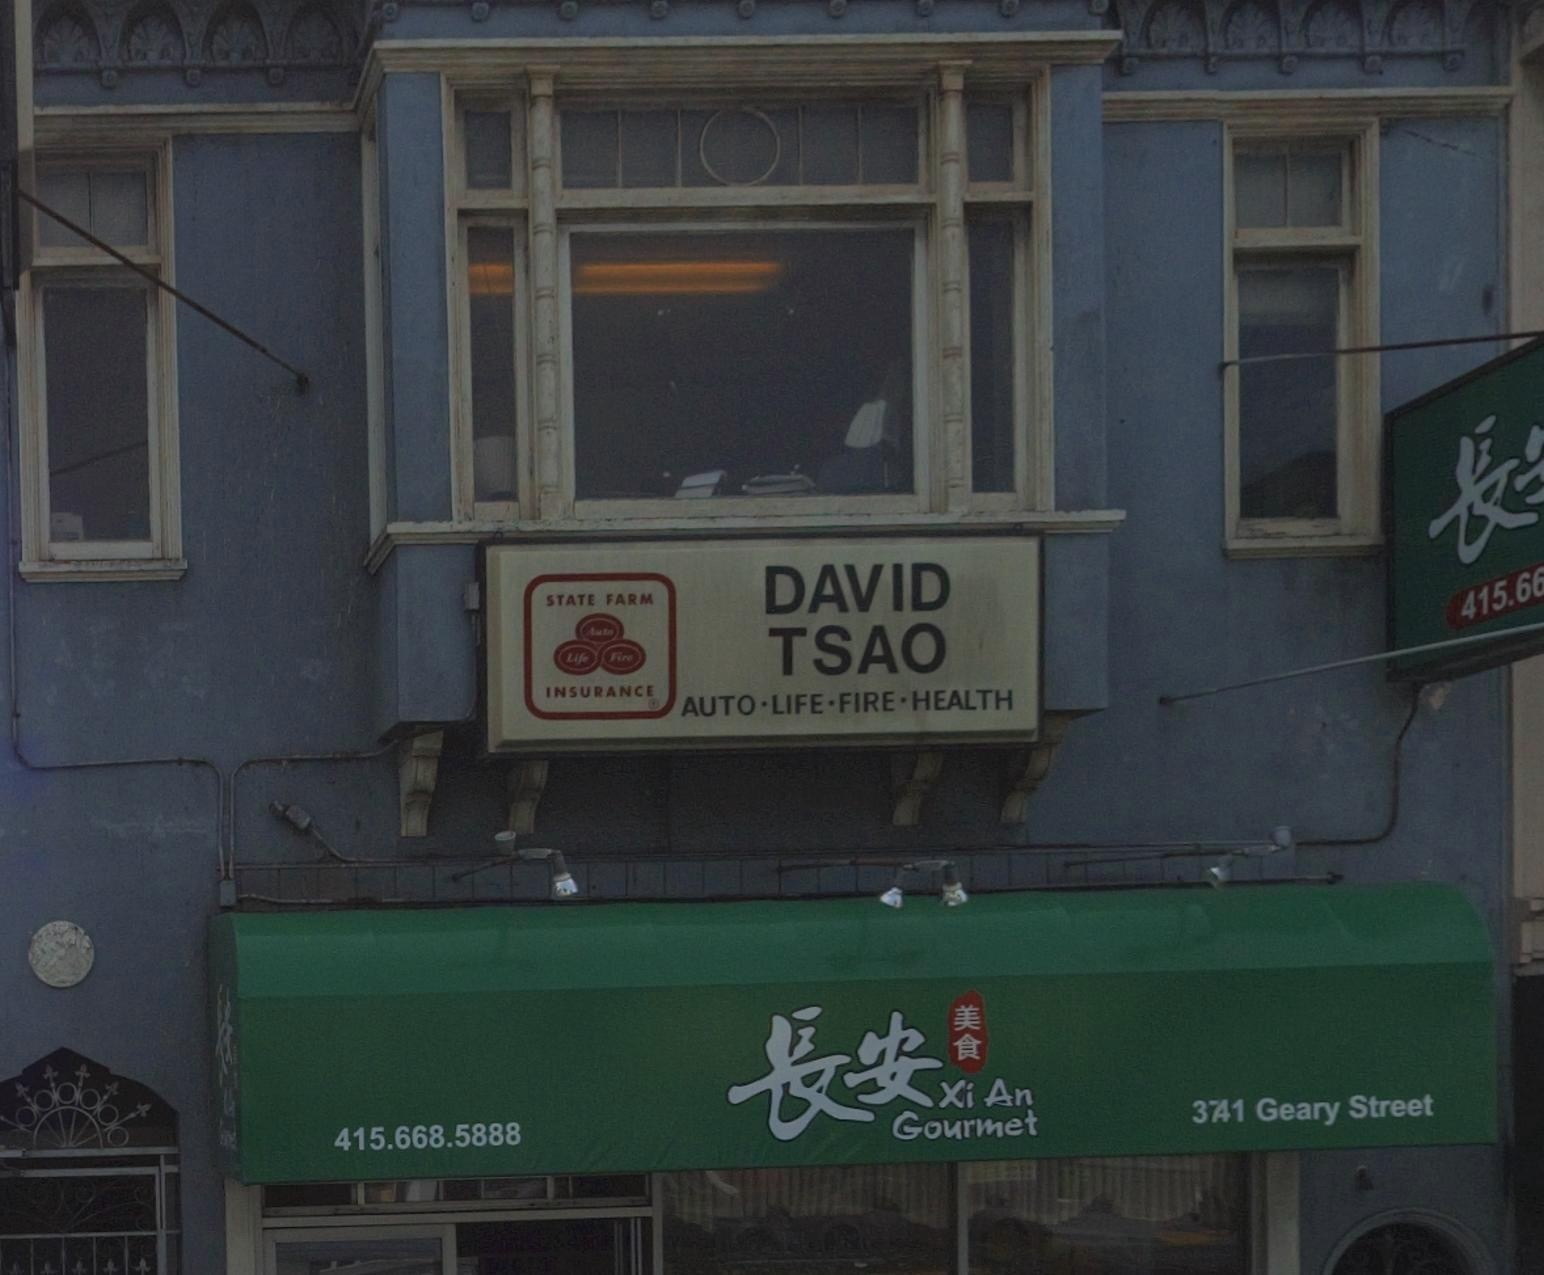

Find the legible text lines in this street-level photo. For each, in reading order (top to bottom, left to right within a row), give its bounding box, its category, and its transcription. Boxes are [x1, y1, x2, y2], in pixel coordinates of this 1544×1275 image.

[544, 592, 655, 609] BusinessName: STATE FARM
[761, 559, 954, 618] None: DAVID
[1456, 565, 1534, 624] None: 415.6
[764, 619, 952, 680] None: TSAO
[544, 683, 656, 702] BusinessName: INSURANCE
[673, 687, 1016, 721] None: AUTO-LIFE-FIRE-HEALTH
[330, 1119, 525, 1155] None: 415.668.5888
[881, 1104, 1044, 1145] BusinessName: Gourmet
[934, 1073, 1035, 1112] BusinessName: Xi An
[1184, 1095, 1251, 1129] StreetNumber: 3*41
[1250, 1088, 1439, 1130] StreetName: Geary Street